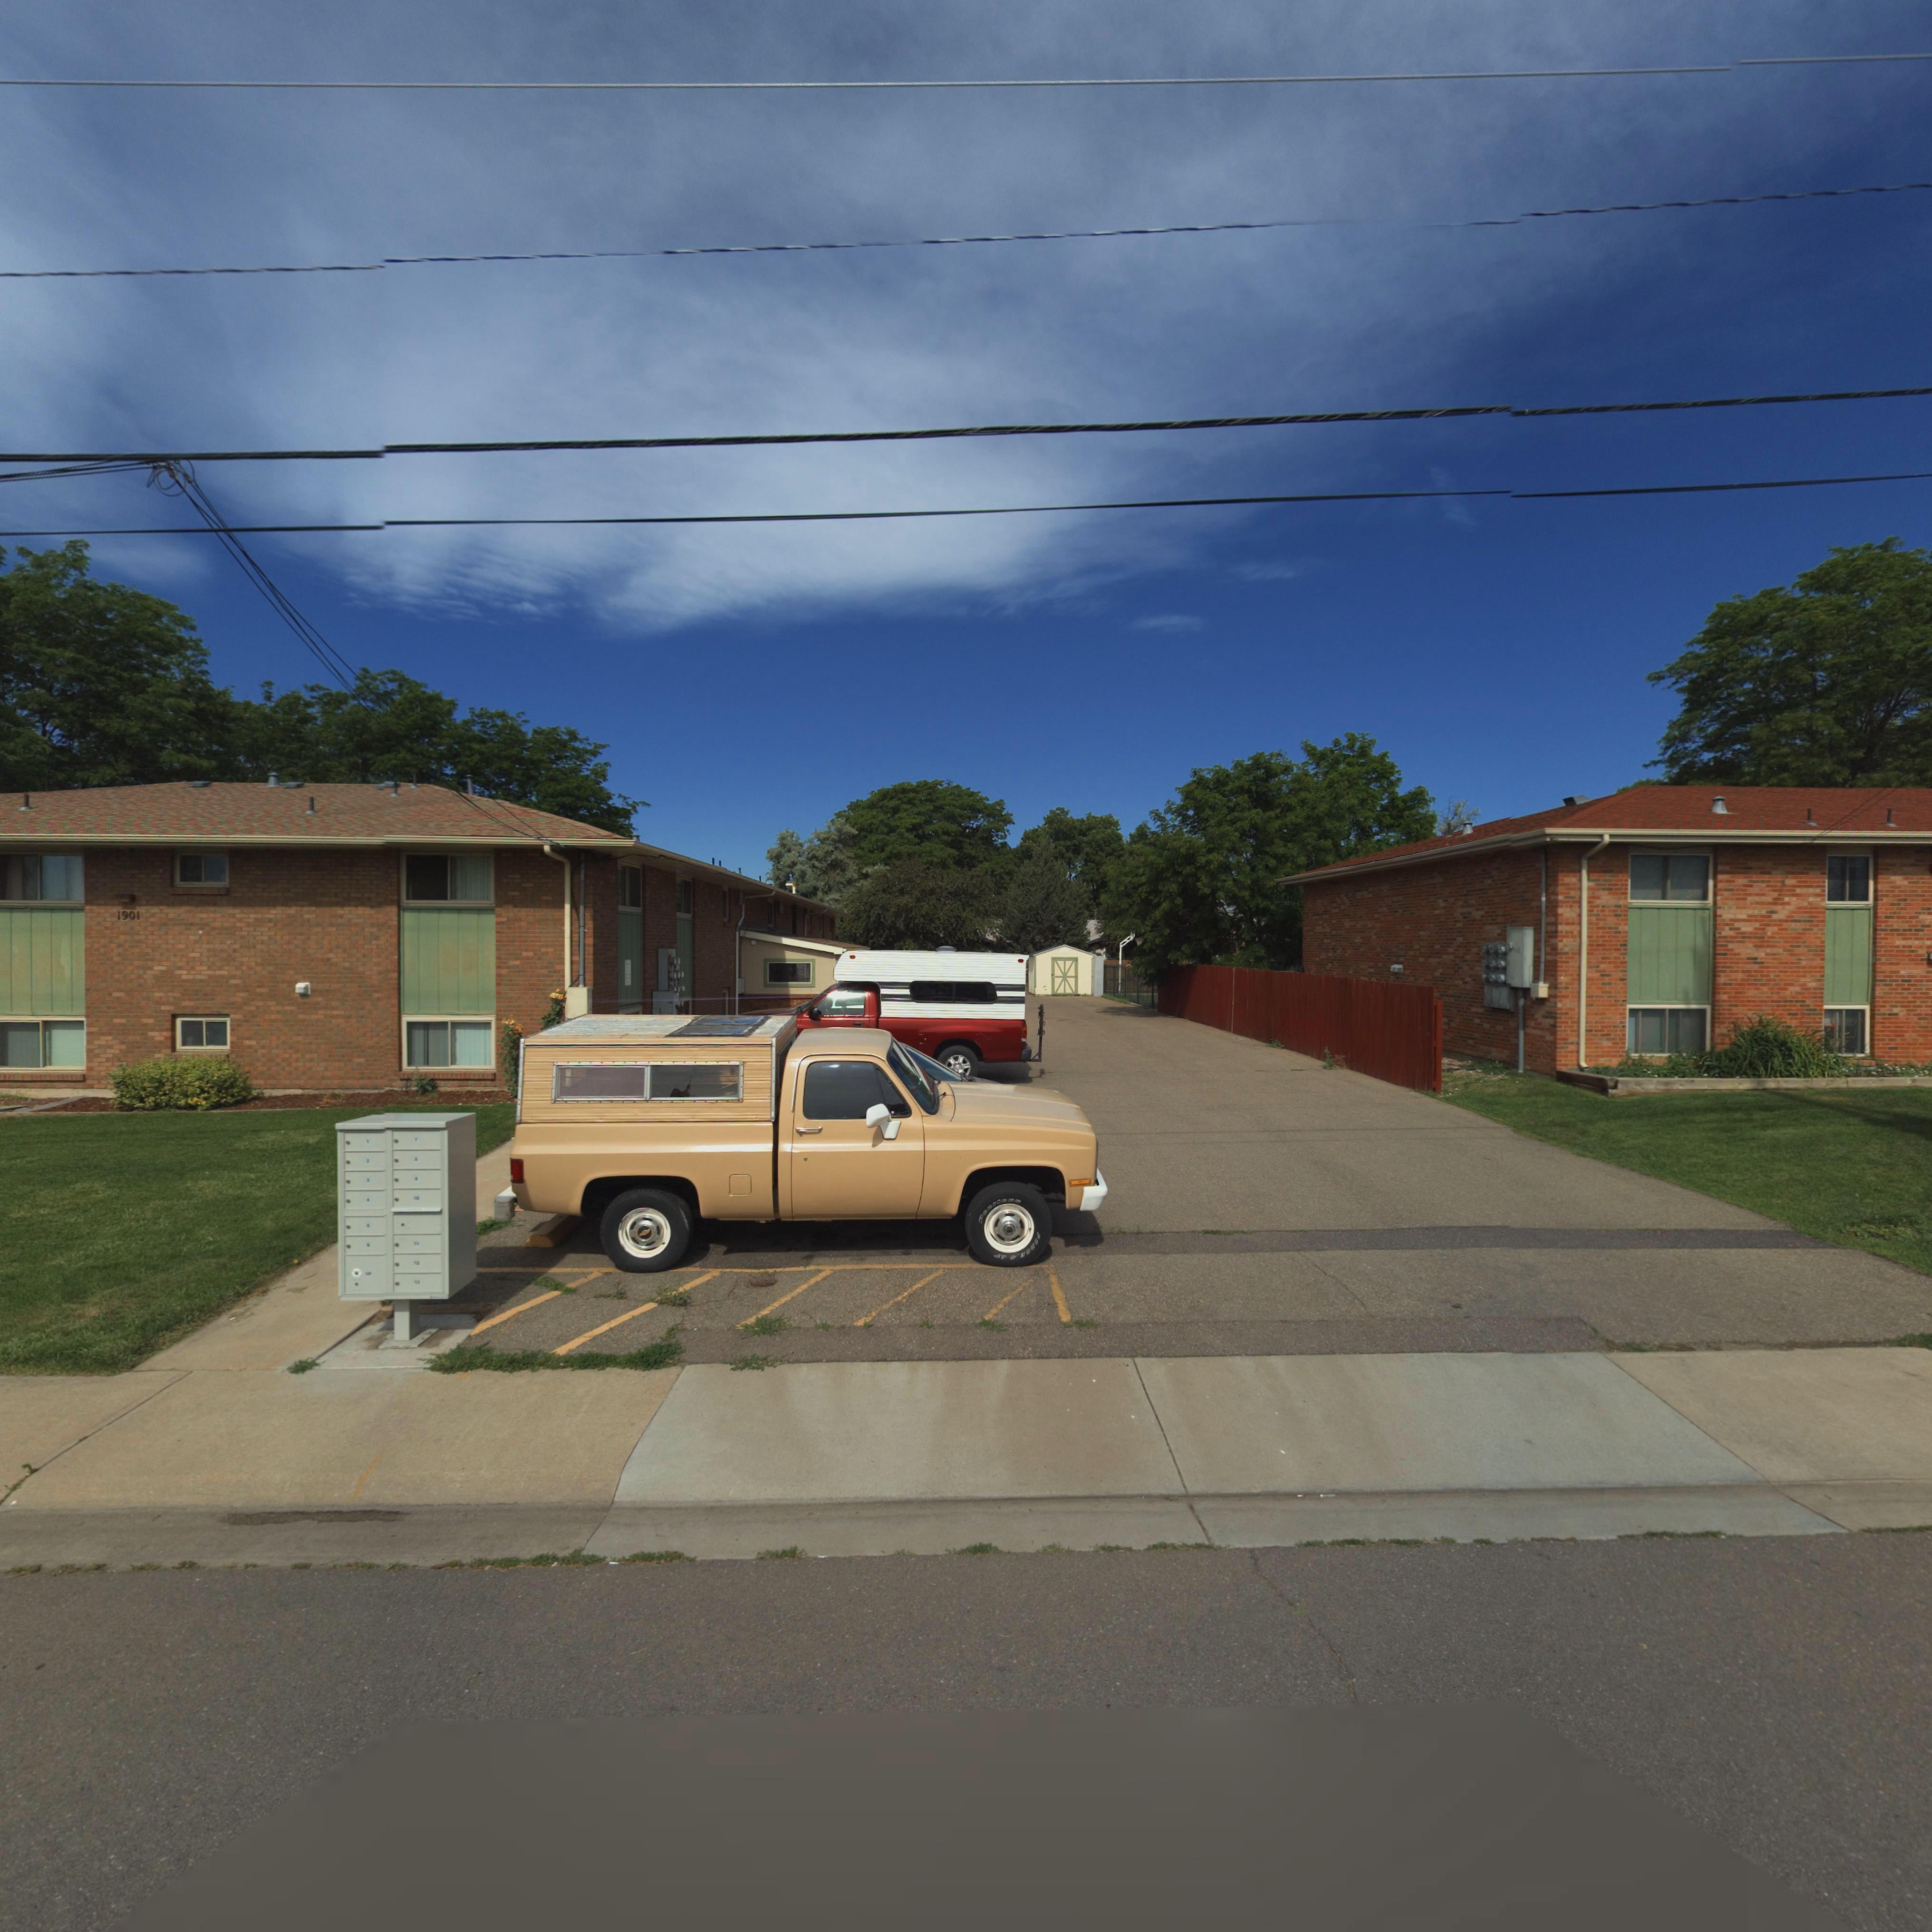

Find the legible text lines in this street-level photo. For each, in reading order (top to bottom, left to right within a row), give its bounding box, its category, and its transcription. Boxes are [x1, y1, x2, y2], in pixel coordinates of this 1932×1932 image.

[116, 910, 140, 920] StreetNumber: 1901